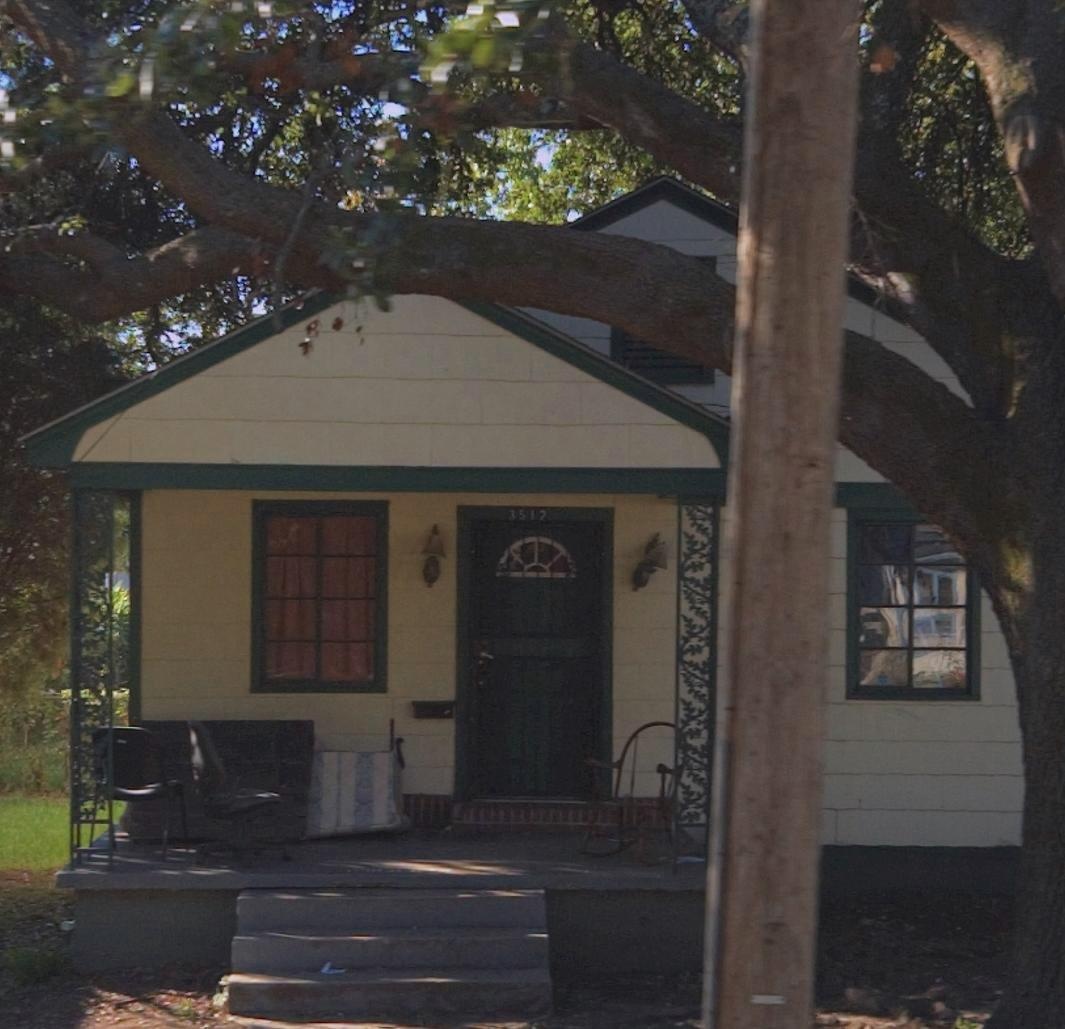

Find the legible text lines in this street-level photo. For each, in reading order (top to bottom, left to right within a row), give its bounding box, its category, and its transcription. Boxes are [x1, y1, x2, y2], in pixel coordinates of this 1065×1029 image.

[507, 508, 550, 522] StreetNumber: 351*